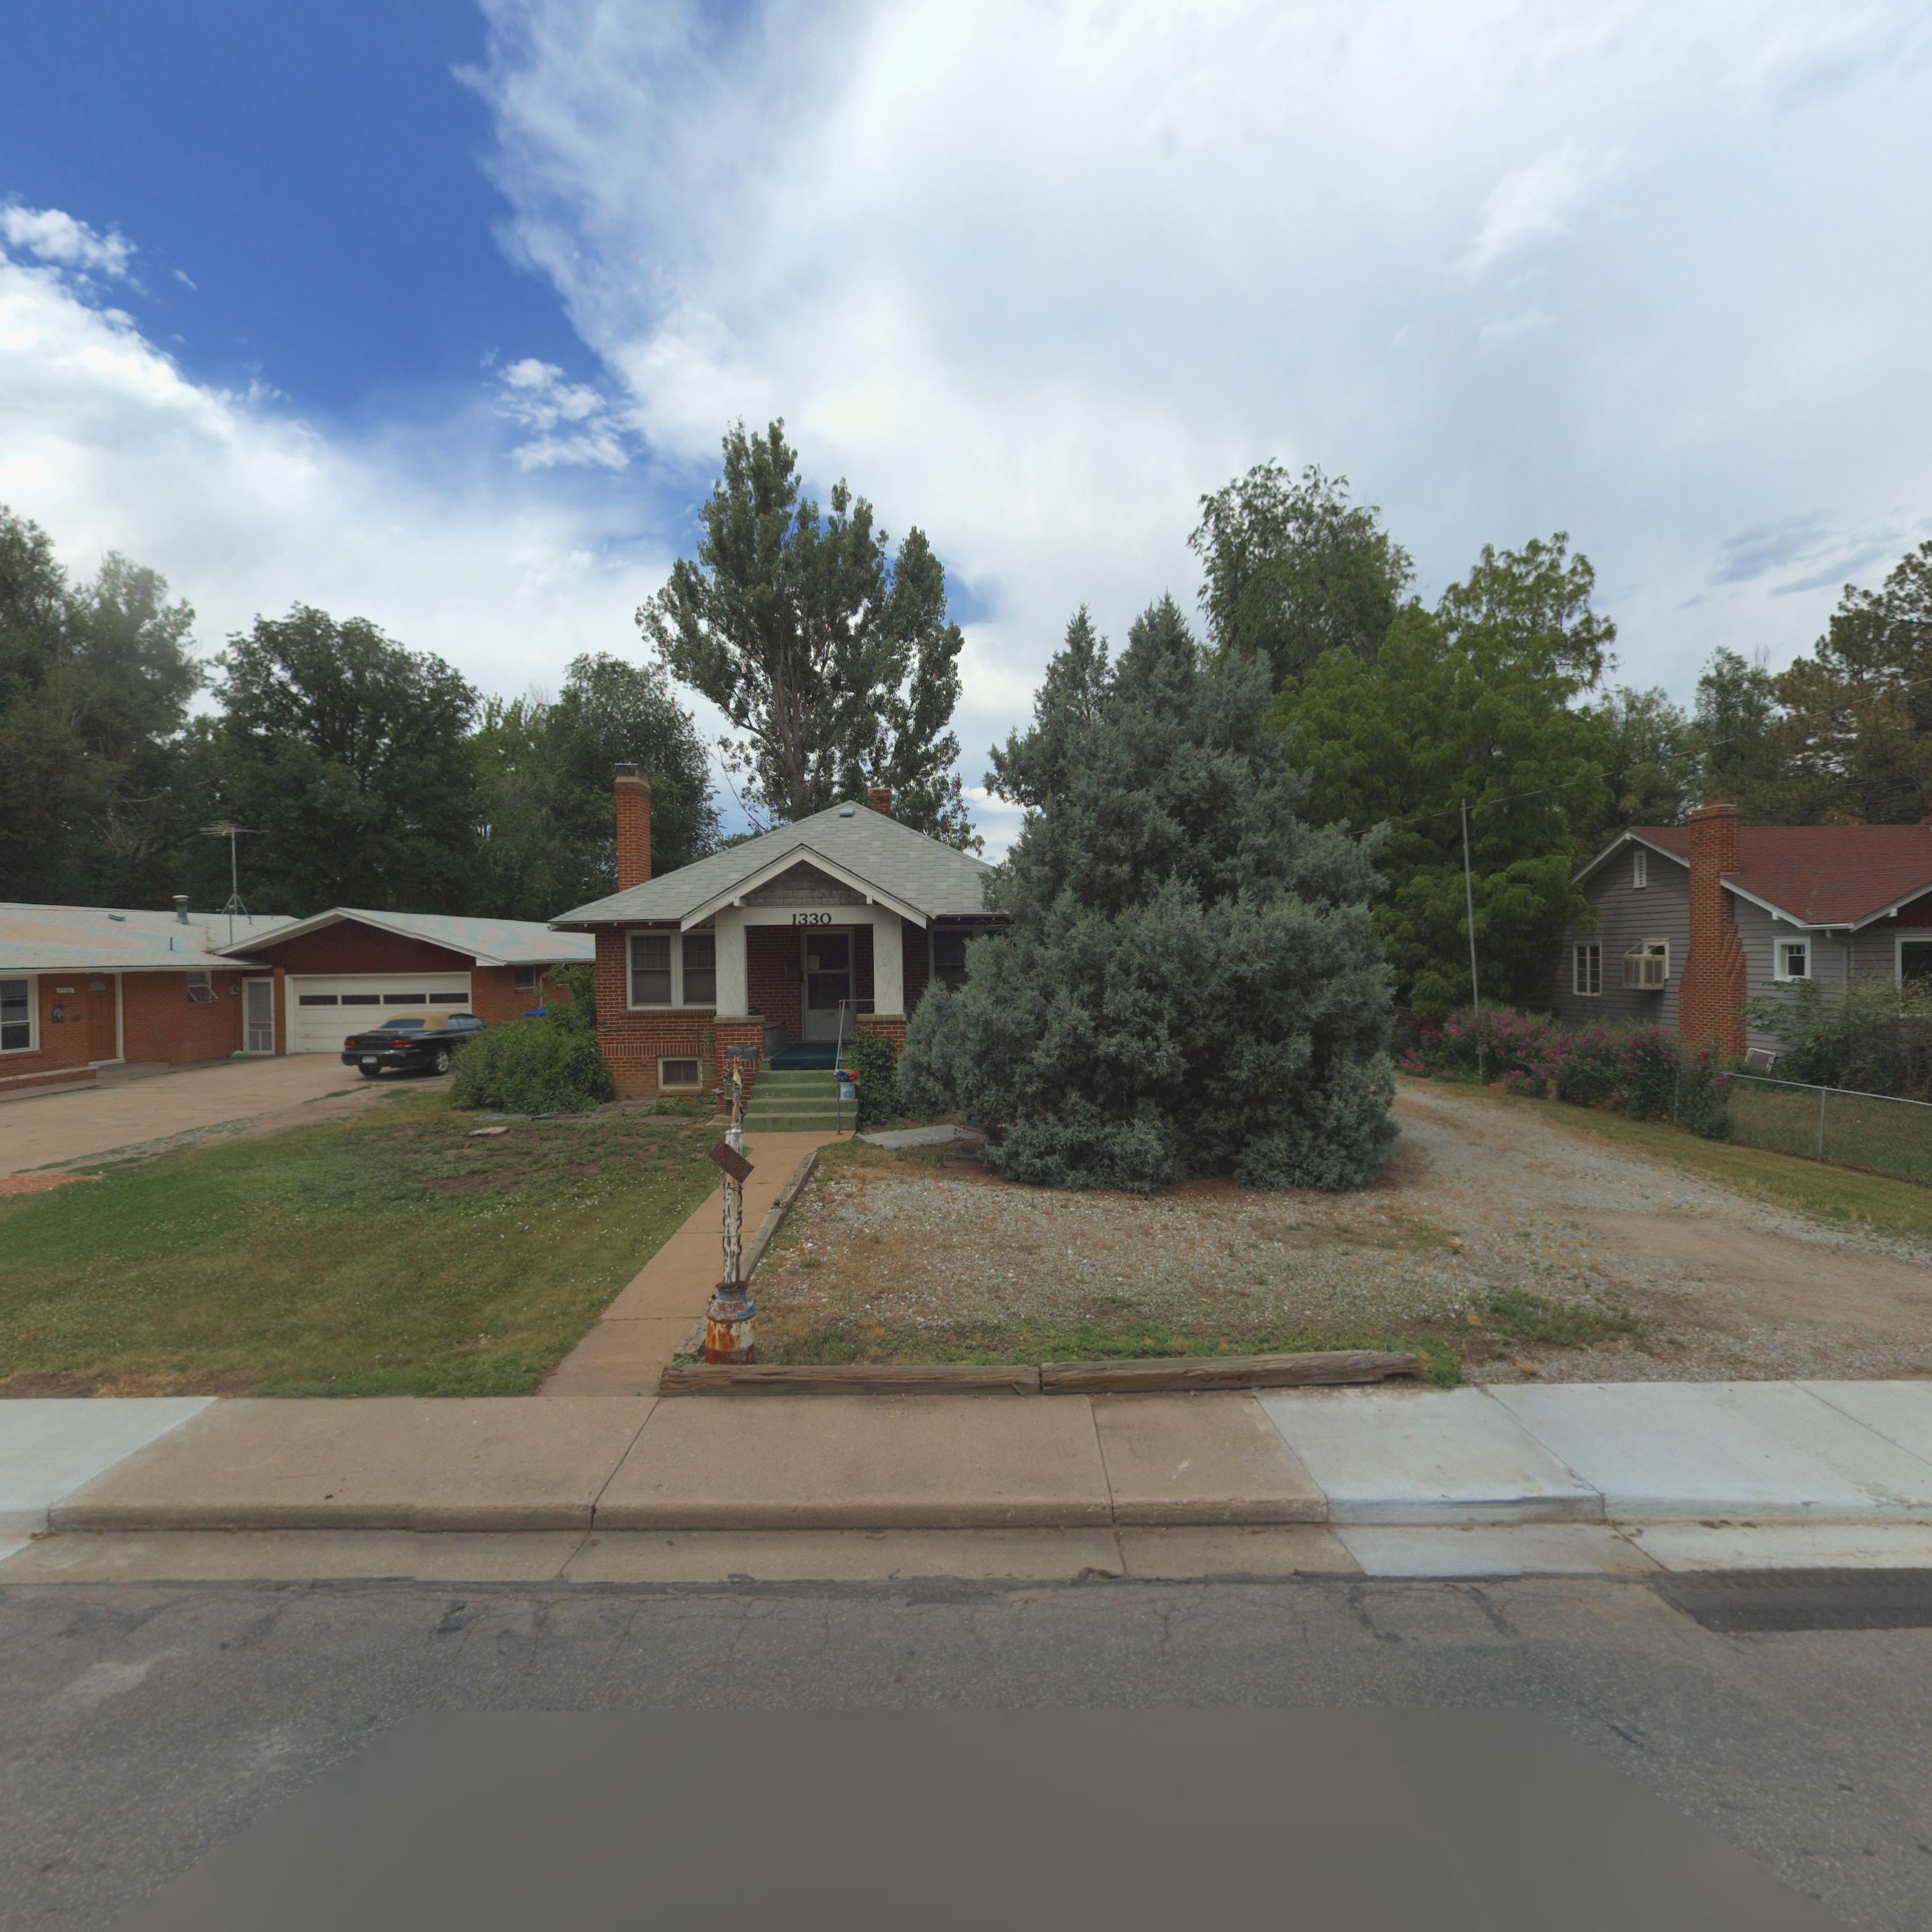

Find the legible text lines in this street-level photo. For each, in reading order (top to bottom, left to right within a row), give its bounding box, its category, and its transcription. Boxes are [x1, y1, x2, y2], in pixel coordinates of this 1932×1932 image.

[791, 912, 832, 926] StreetNumber: 1330
[58, 986, 73, 993] StreetNumber: 13**
[824, 1012, 836, 1017] StreetNumber: 1330
[736, 1183, 744, 1258] StreetNumber: 33*